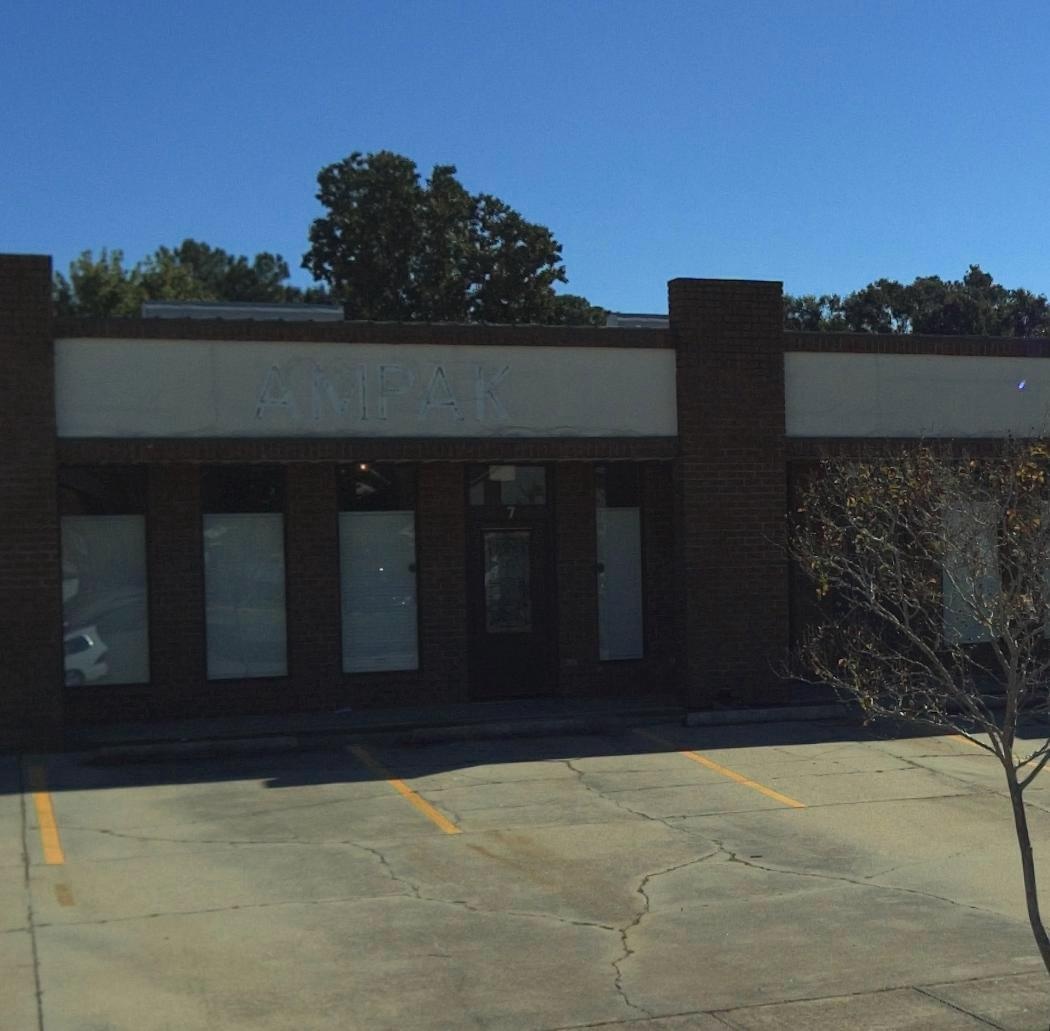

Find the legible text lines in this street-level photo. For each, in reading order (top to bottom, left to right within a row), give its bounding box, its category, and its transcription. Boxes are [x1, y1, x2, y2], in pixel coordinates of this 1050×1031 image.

[248, 360, 519, 427] BusinessName: AMPAK
[504, 504, 518, 521] StreetNumber: 7